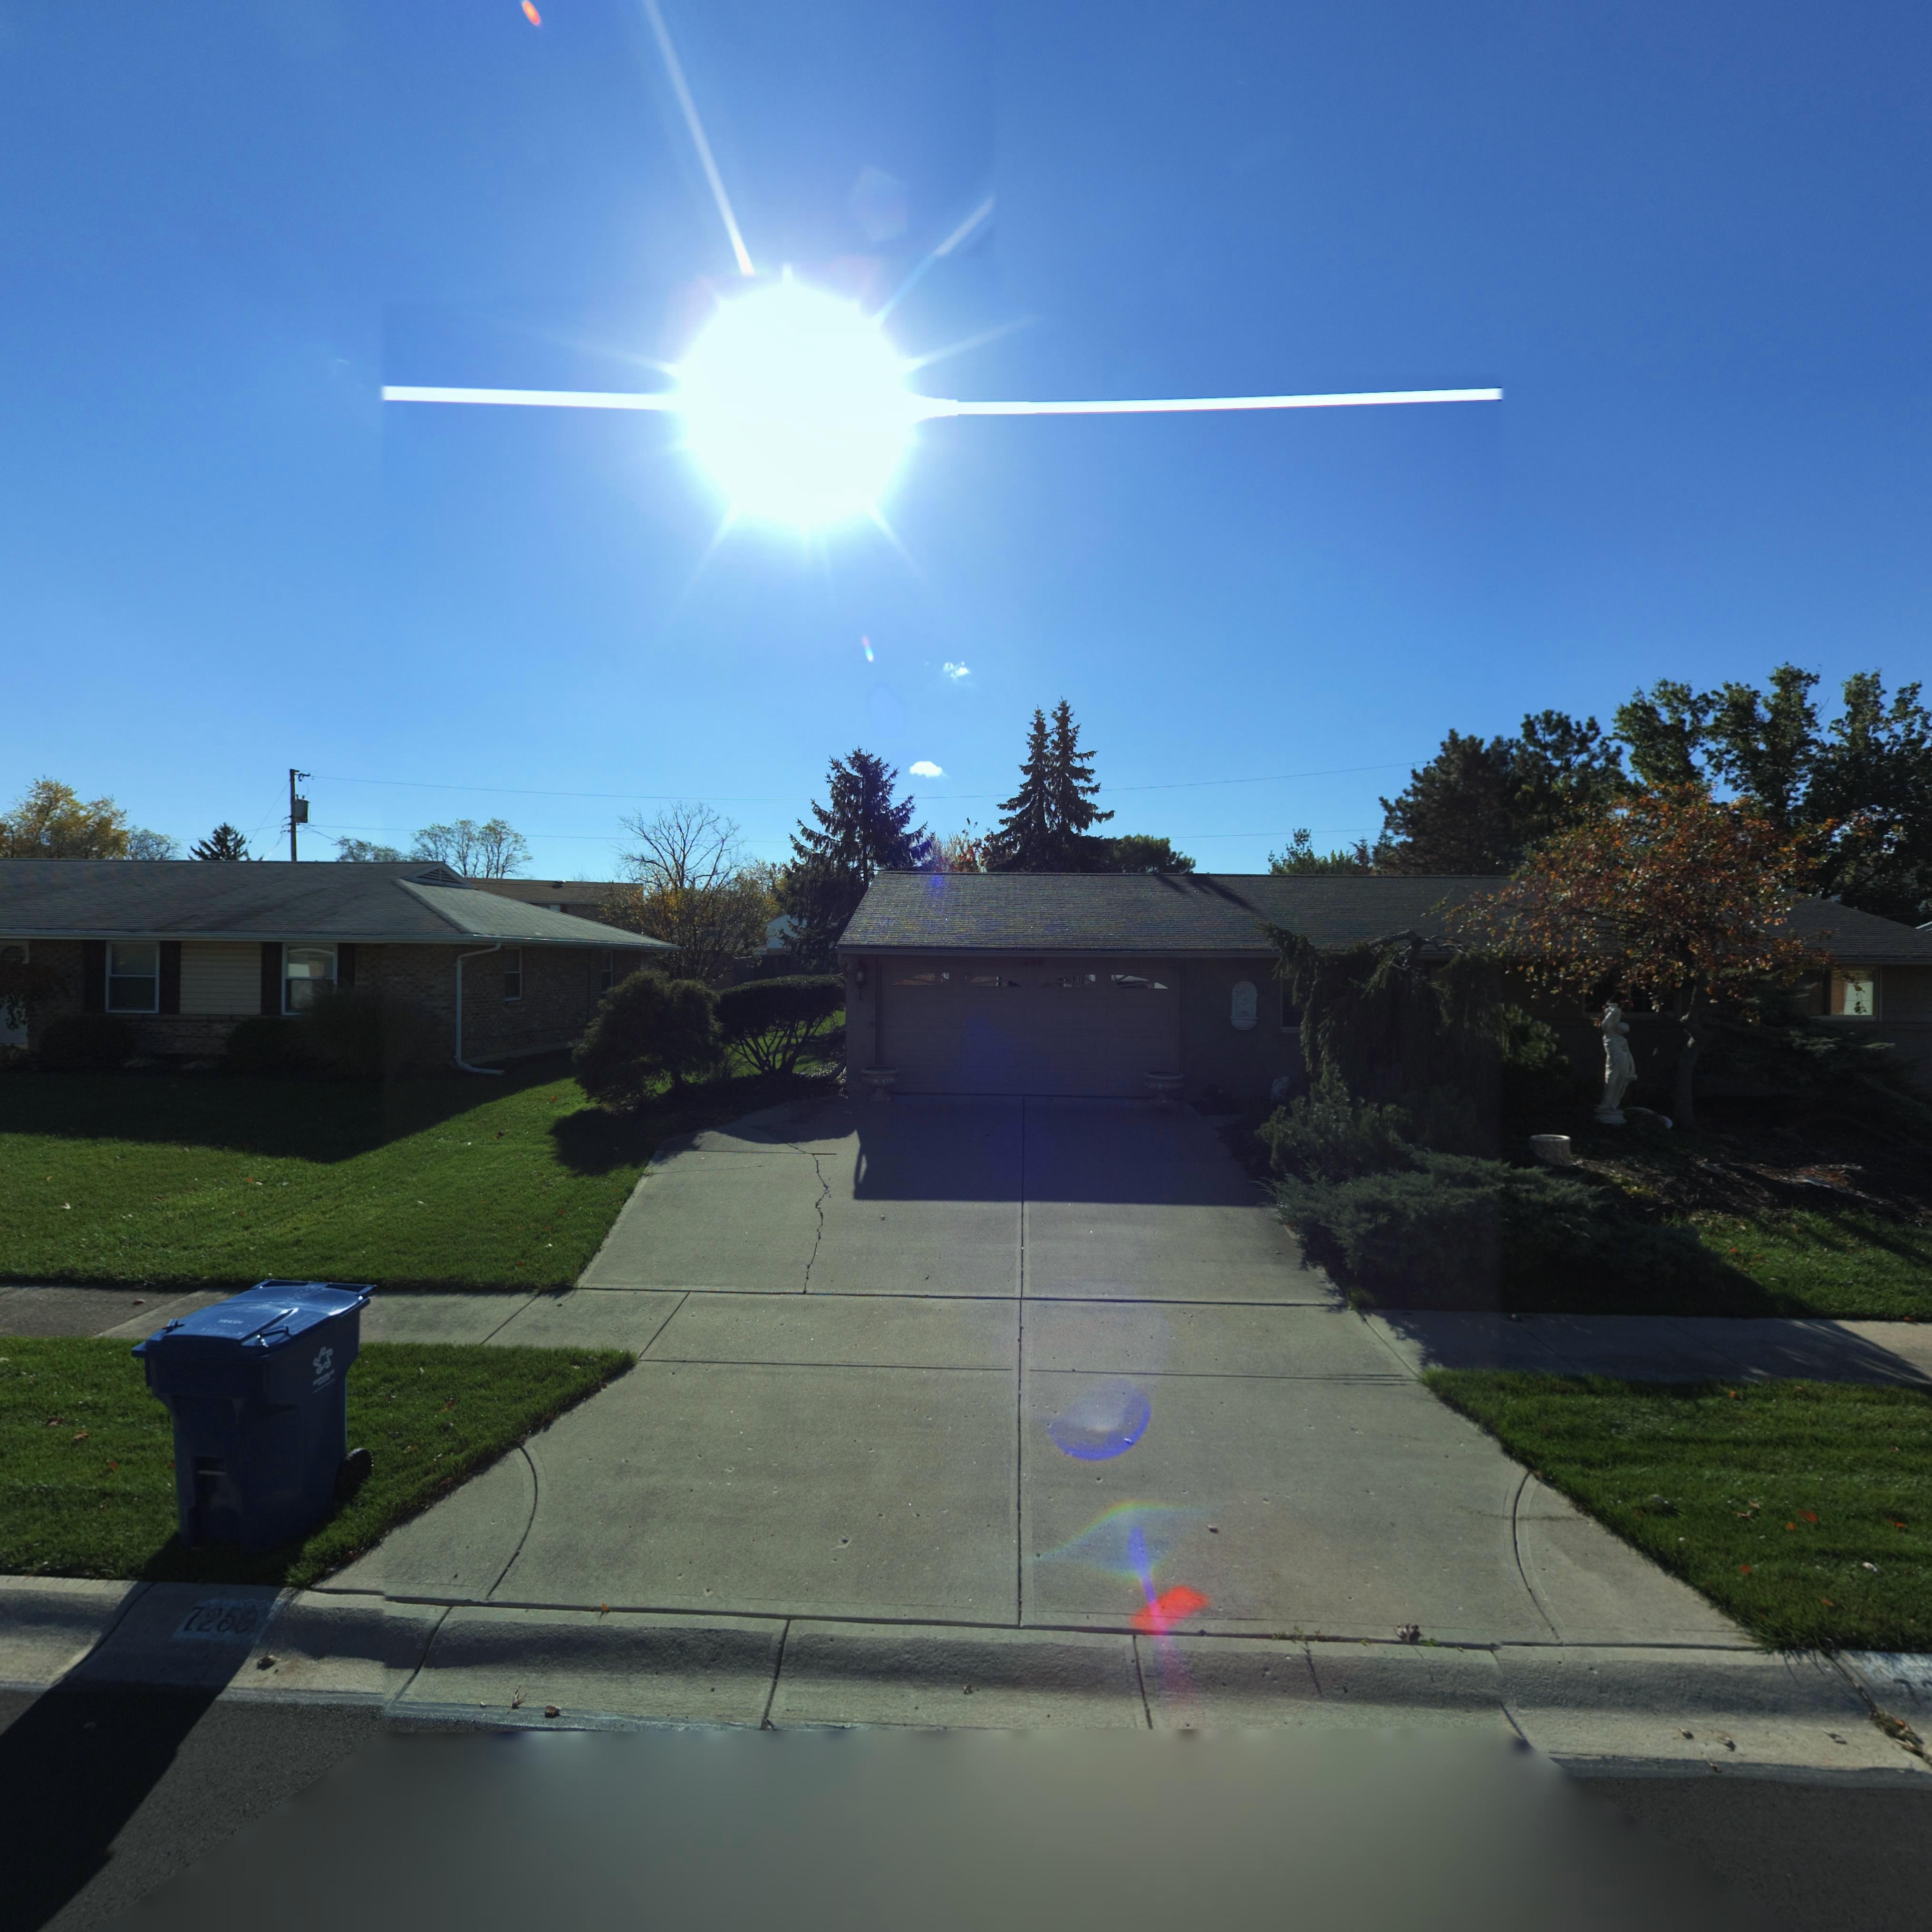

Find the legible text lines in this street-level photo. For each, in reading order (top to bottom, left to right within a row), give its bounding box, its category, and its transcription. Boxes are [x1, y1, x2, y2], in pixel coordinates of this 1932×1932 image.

[1015, 956, 1045, 967] StreetNumber: 7250
[177, 1601, 263, 1638] StreetNumber: 7250
[1891, 1676, 1922, 1709] StreetNumber: 7